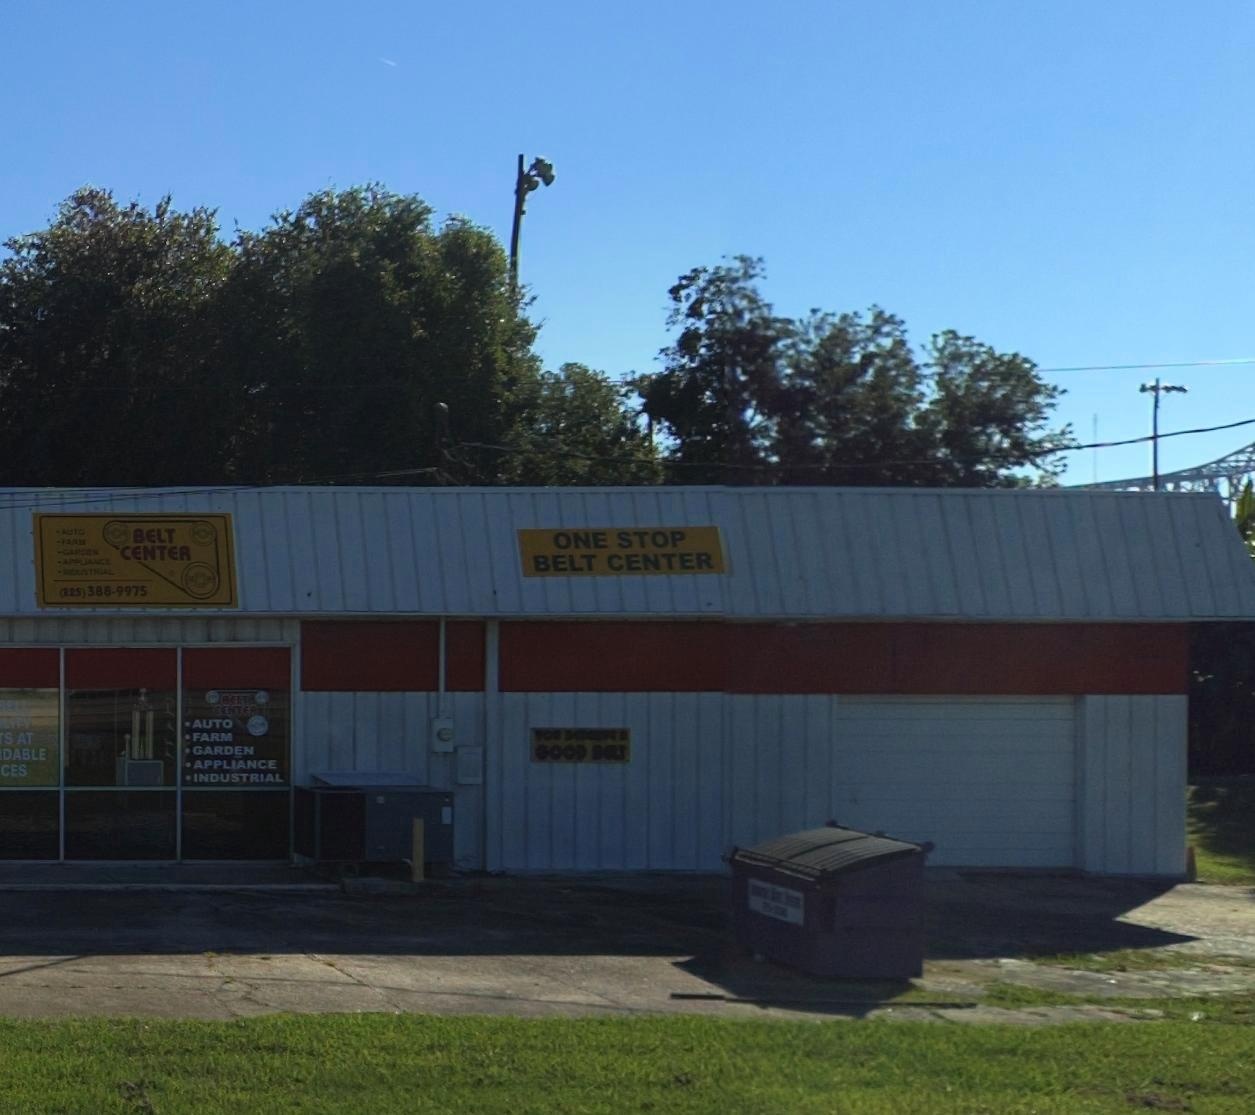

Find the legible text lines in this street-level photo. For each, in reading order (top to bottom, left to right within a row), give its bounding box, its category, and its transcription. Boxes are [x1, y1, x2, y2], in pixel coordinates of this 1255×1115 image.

[60, 526, 85, 537] None: AUTO
[60, 537, 87, 547] None: FARM
[131, 526, 177, 545] BusinessName: BELT
[552, 530, 686, 550] None: ONE STOP
[61, 546, 101, 557] None: GARDEN
[119, 544, 193, 562] BusinessName: CENTER
[60, 556, 114, 567] None: APPLIANCE
[532, 553, 715, 573] BusinessName: BELT CENTER
[61, 566, 116, 577] None: INDUSTRIAL
[59, 585, 149, 601] None: (225)388-9975
[221, 694, 250, 705] BusinessName: BELT
[214, 705, 258, 716] BusinessName: CENTER
[191, 718, 234, 731] None: AUTO
[3, 730, 36, 746] None: S AT
[191, 731, 234, 743] None: FARM
[2, 747, 47, 762] None: DABLE
[191, 744, 255, 757] None: GARDEN
[534, 743, 588, 761] None: GOOD
[0, 763, 28, 779] None: CES
[191, 758, 278, 771] None: APPLIANCE
[192, 772, 284, 784] None: INDUSTRIAL